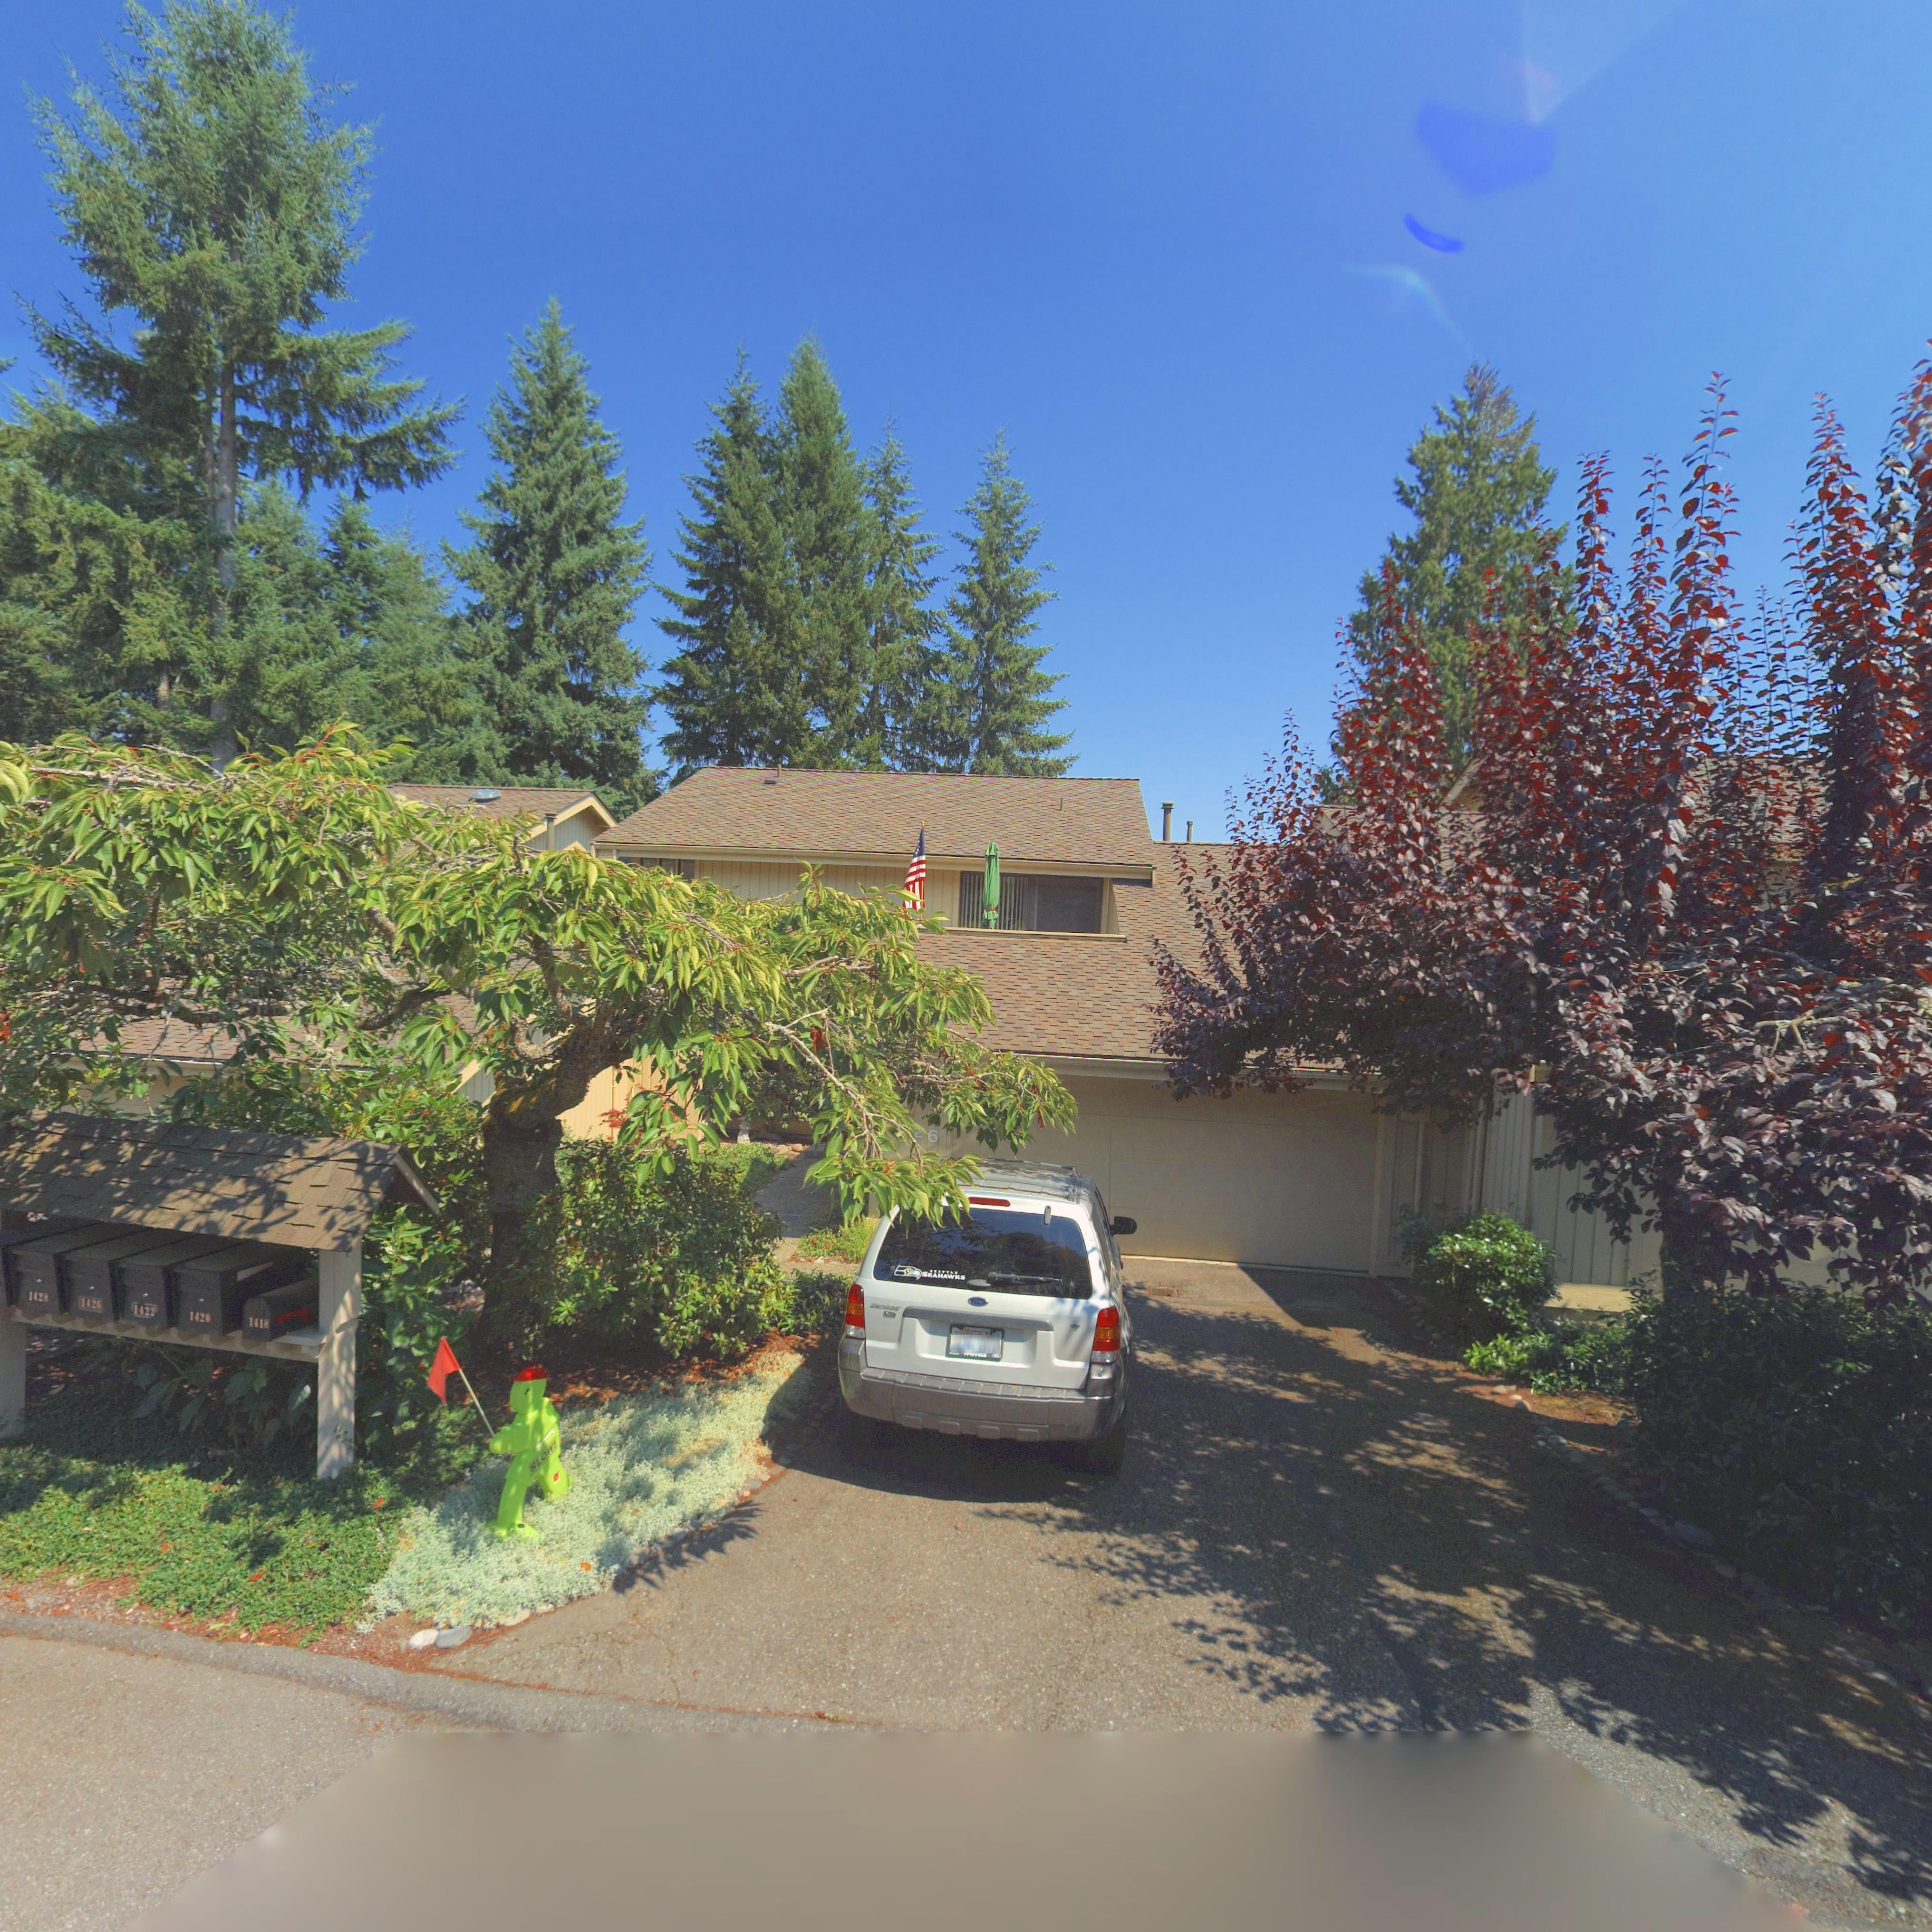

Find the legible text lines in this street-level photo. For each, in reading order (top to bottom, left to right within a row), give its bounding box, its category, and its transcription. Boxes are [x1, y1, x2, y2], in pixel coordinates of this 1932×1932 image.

[911, 1124, 939, 1144] StreetNumber: 26
[28, 1291, 49, 1302] StreetNumber: 1428
[81, 1296, 102, 1309] StreetNumber: 1426
[133, 1304, 155, 1317] StreetNumber: 1422
[188, 1310, 212, 1323] StreetNumber: 1420
[248, 1316, 269, 1329] StreetNumber: 1418